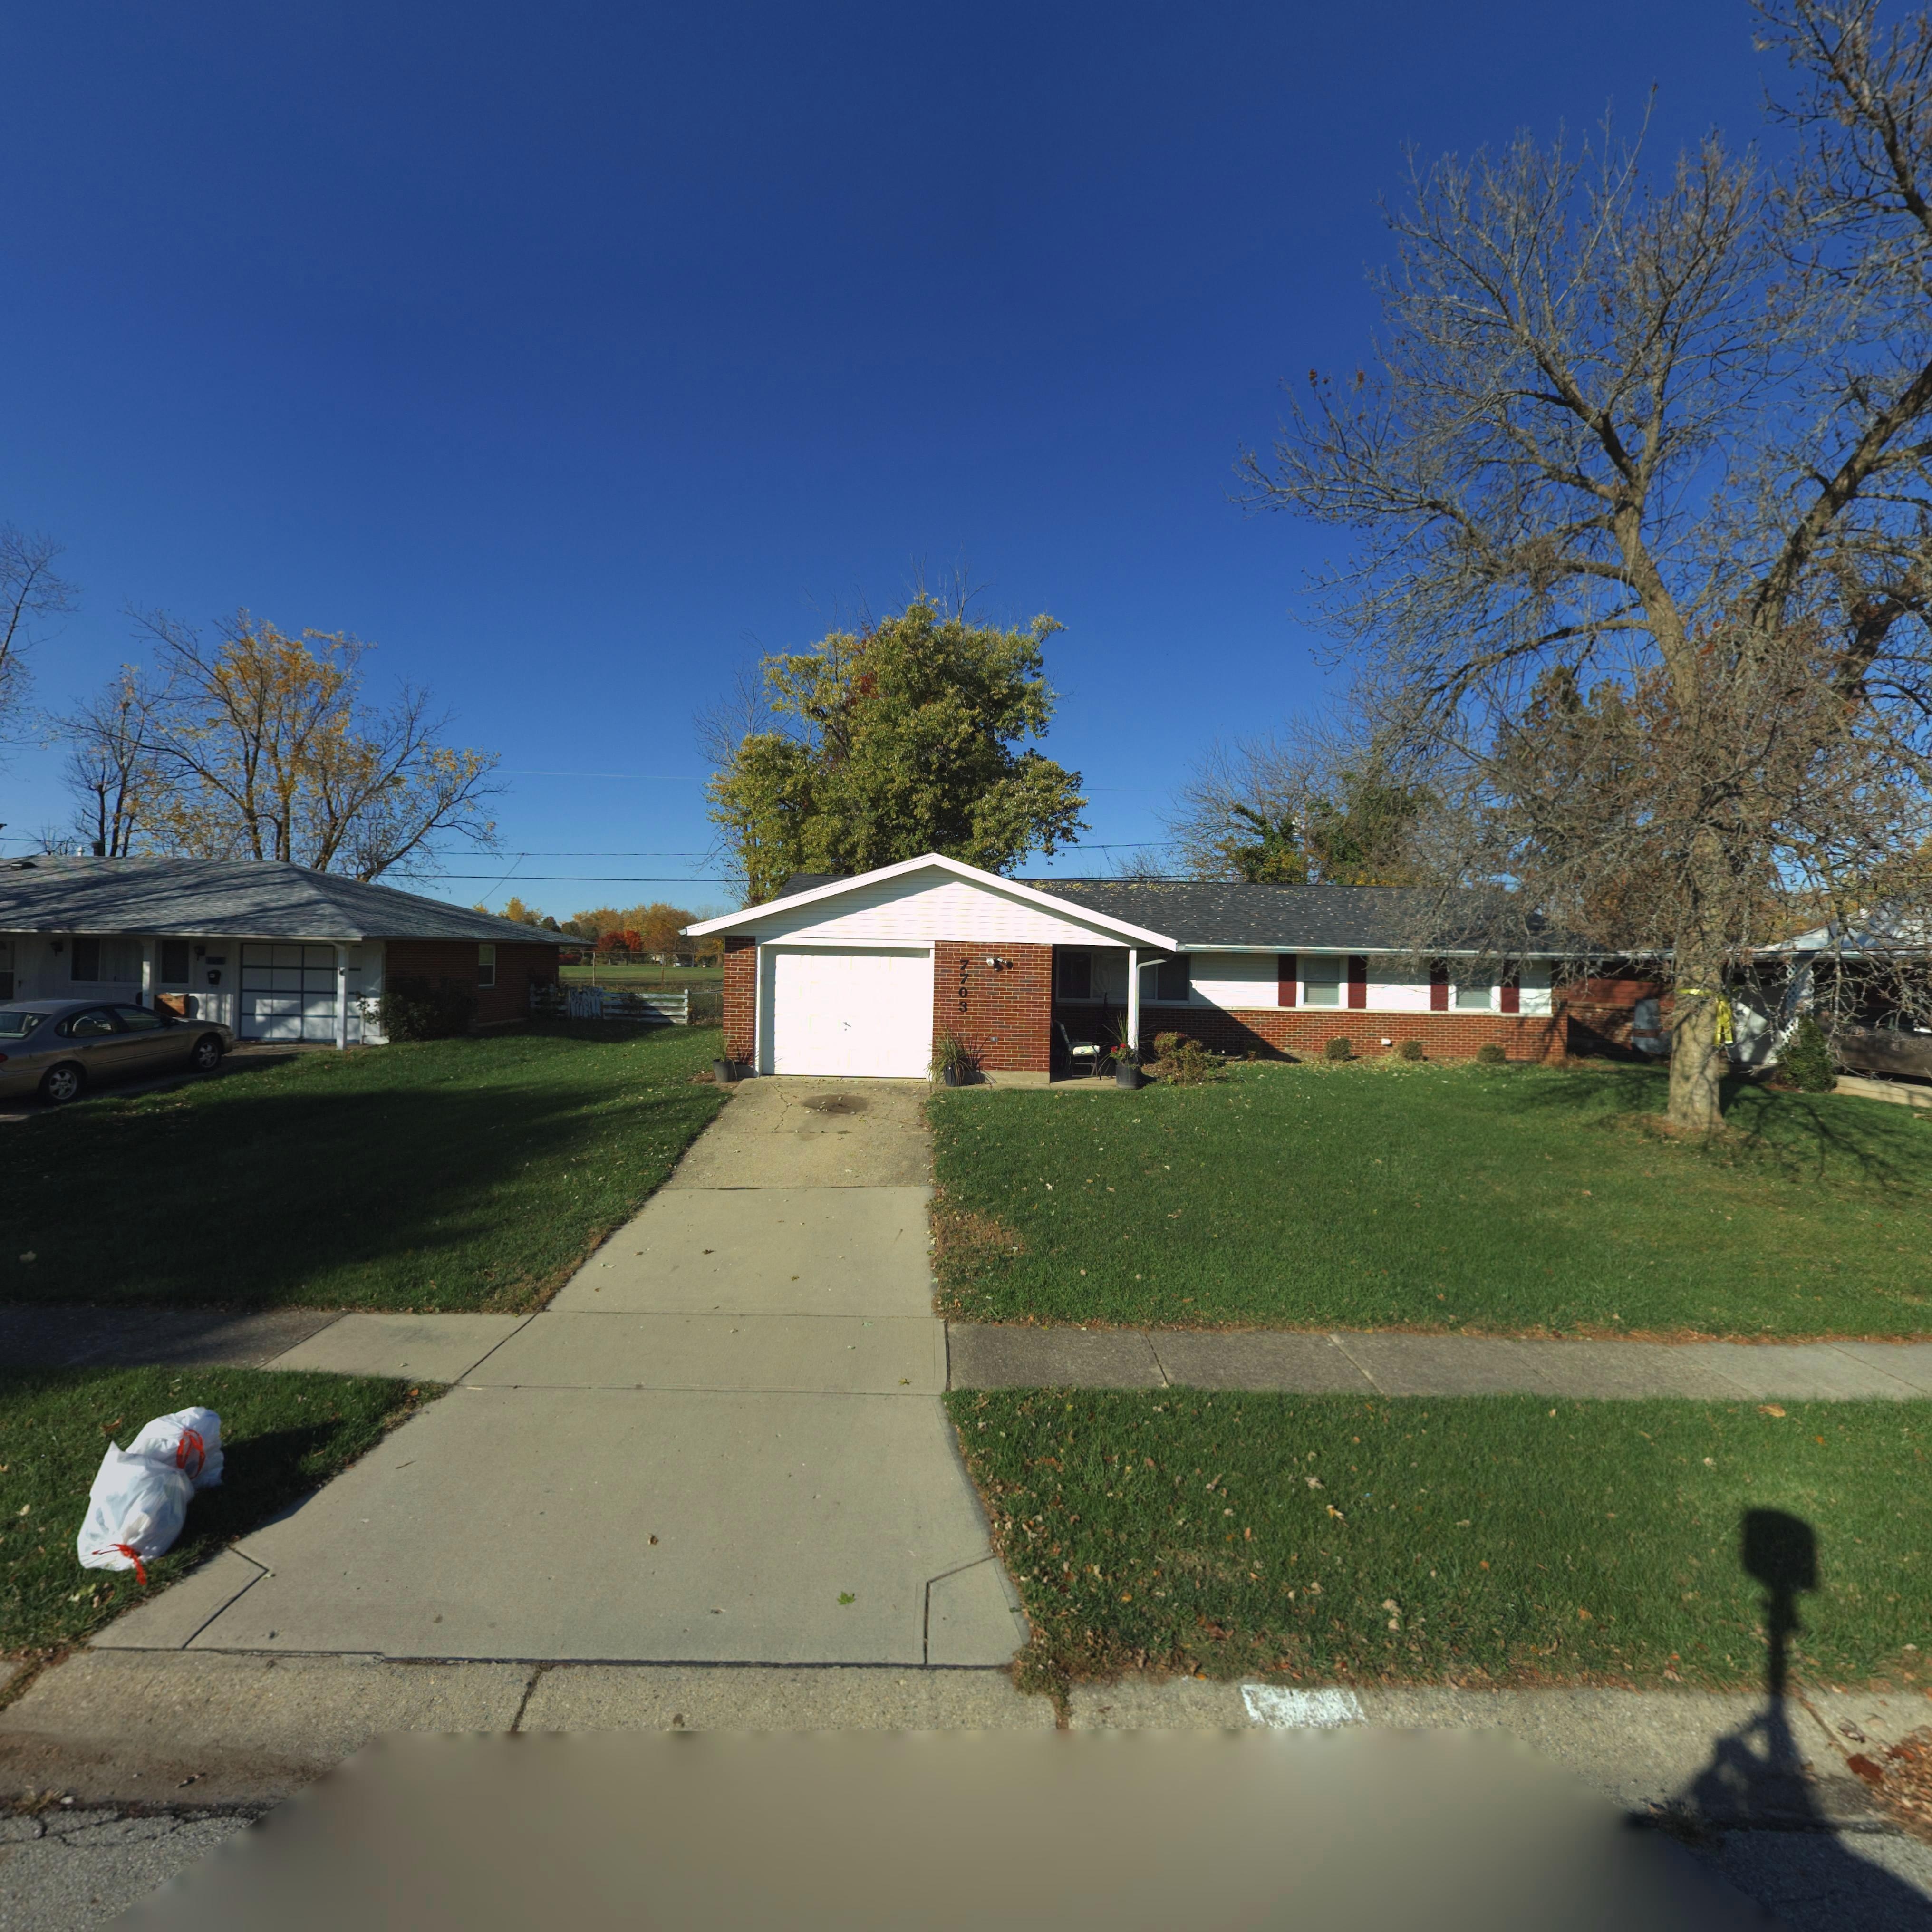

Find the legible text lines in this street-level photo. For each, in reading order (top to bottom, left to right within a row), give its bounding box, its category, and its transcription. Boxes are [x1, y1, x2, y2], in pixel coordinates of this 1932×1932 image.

[957, 958, 970, 1014] StreetNumber: 7703